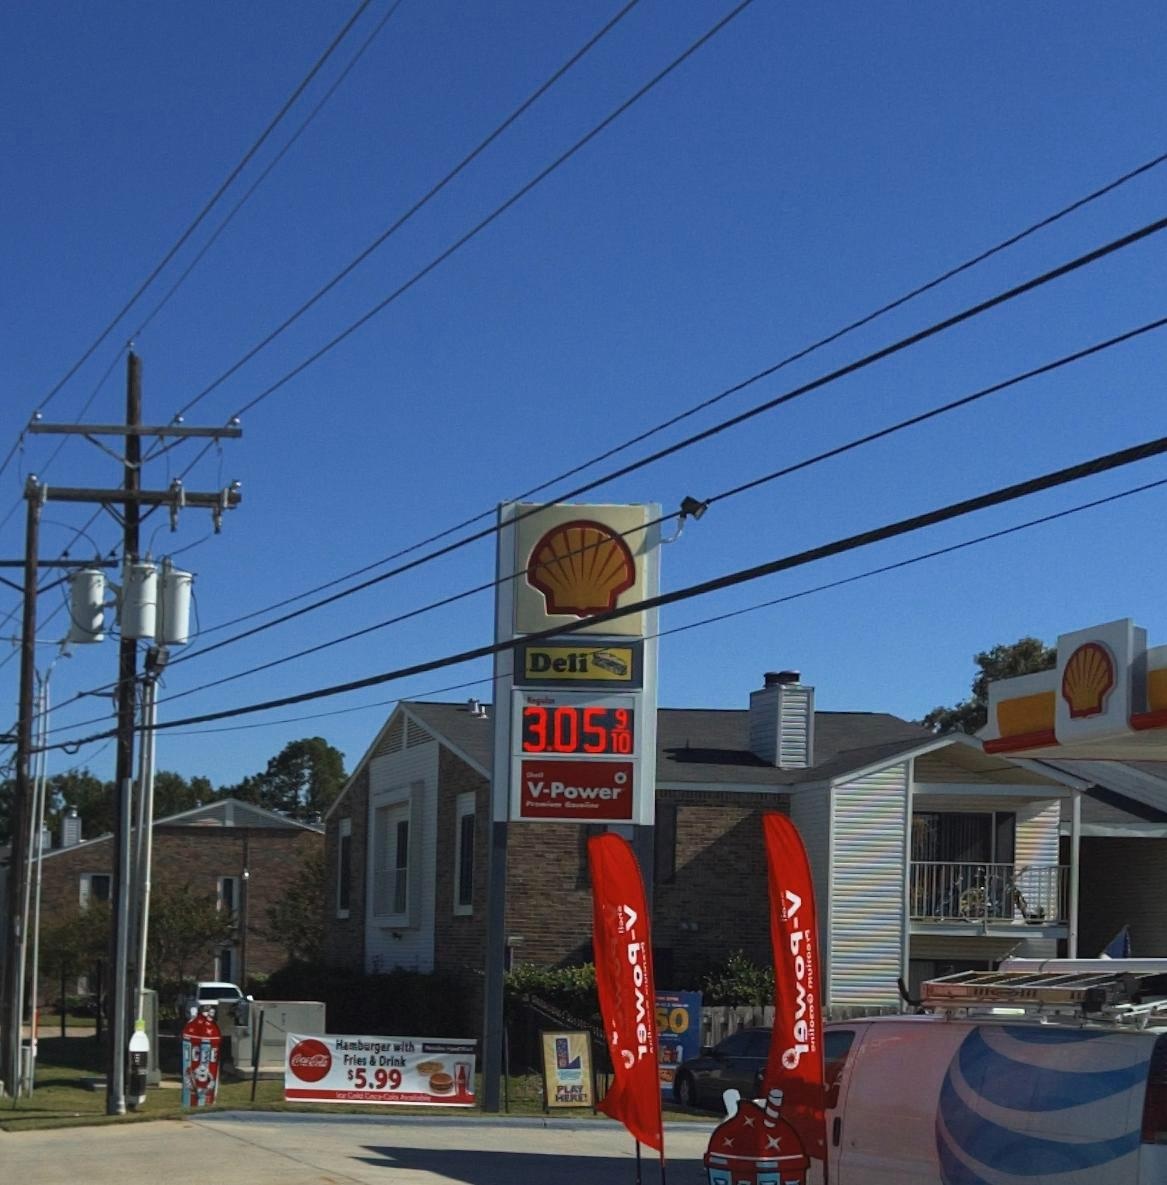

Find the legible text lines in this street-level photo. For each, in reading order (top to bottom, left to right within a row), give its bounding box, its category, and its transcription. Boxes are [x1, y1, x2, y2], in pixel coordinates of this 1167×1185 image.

[528, 652, 589, 673] None: Deli
[525, 694, 558, 707] None: Regular
[523, 706, 633, 753] None: 3.05 9/10
[526, 780, 623, 801] None: V-Power
[623, 902, 650, 1062] None: V-*oe**
[785, 888, 810, 1058] None: V-Pow**
[655, 1007, 690, 1034] None: *0
[184, 1044, 219, 1063] None: iCEE
[290, 1052, 330, 1068] None: Coca-Cola
[342, 1054, 408, 1067] None: Fries & Drink
[335, 1038, 416, 1054] None: Hamburger with
[555, 1037, 582, 1070] None: L
[354, 1067, 403, 1091] None: 5.99
[556, 1083, 586, 1094] None: PLAY
[554, 1092, 588, 1104] None: HERE